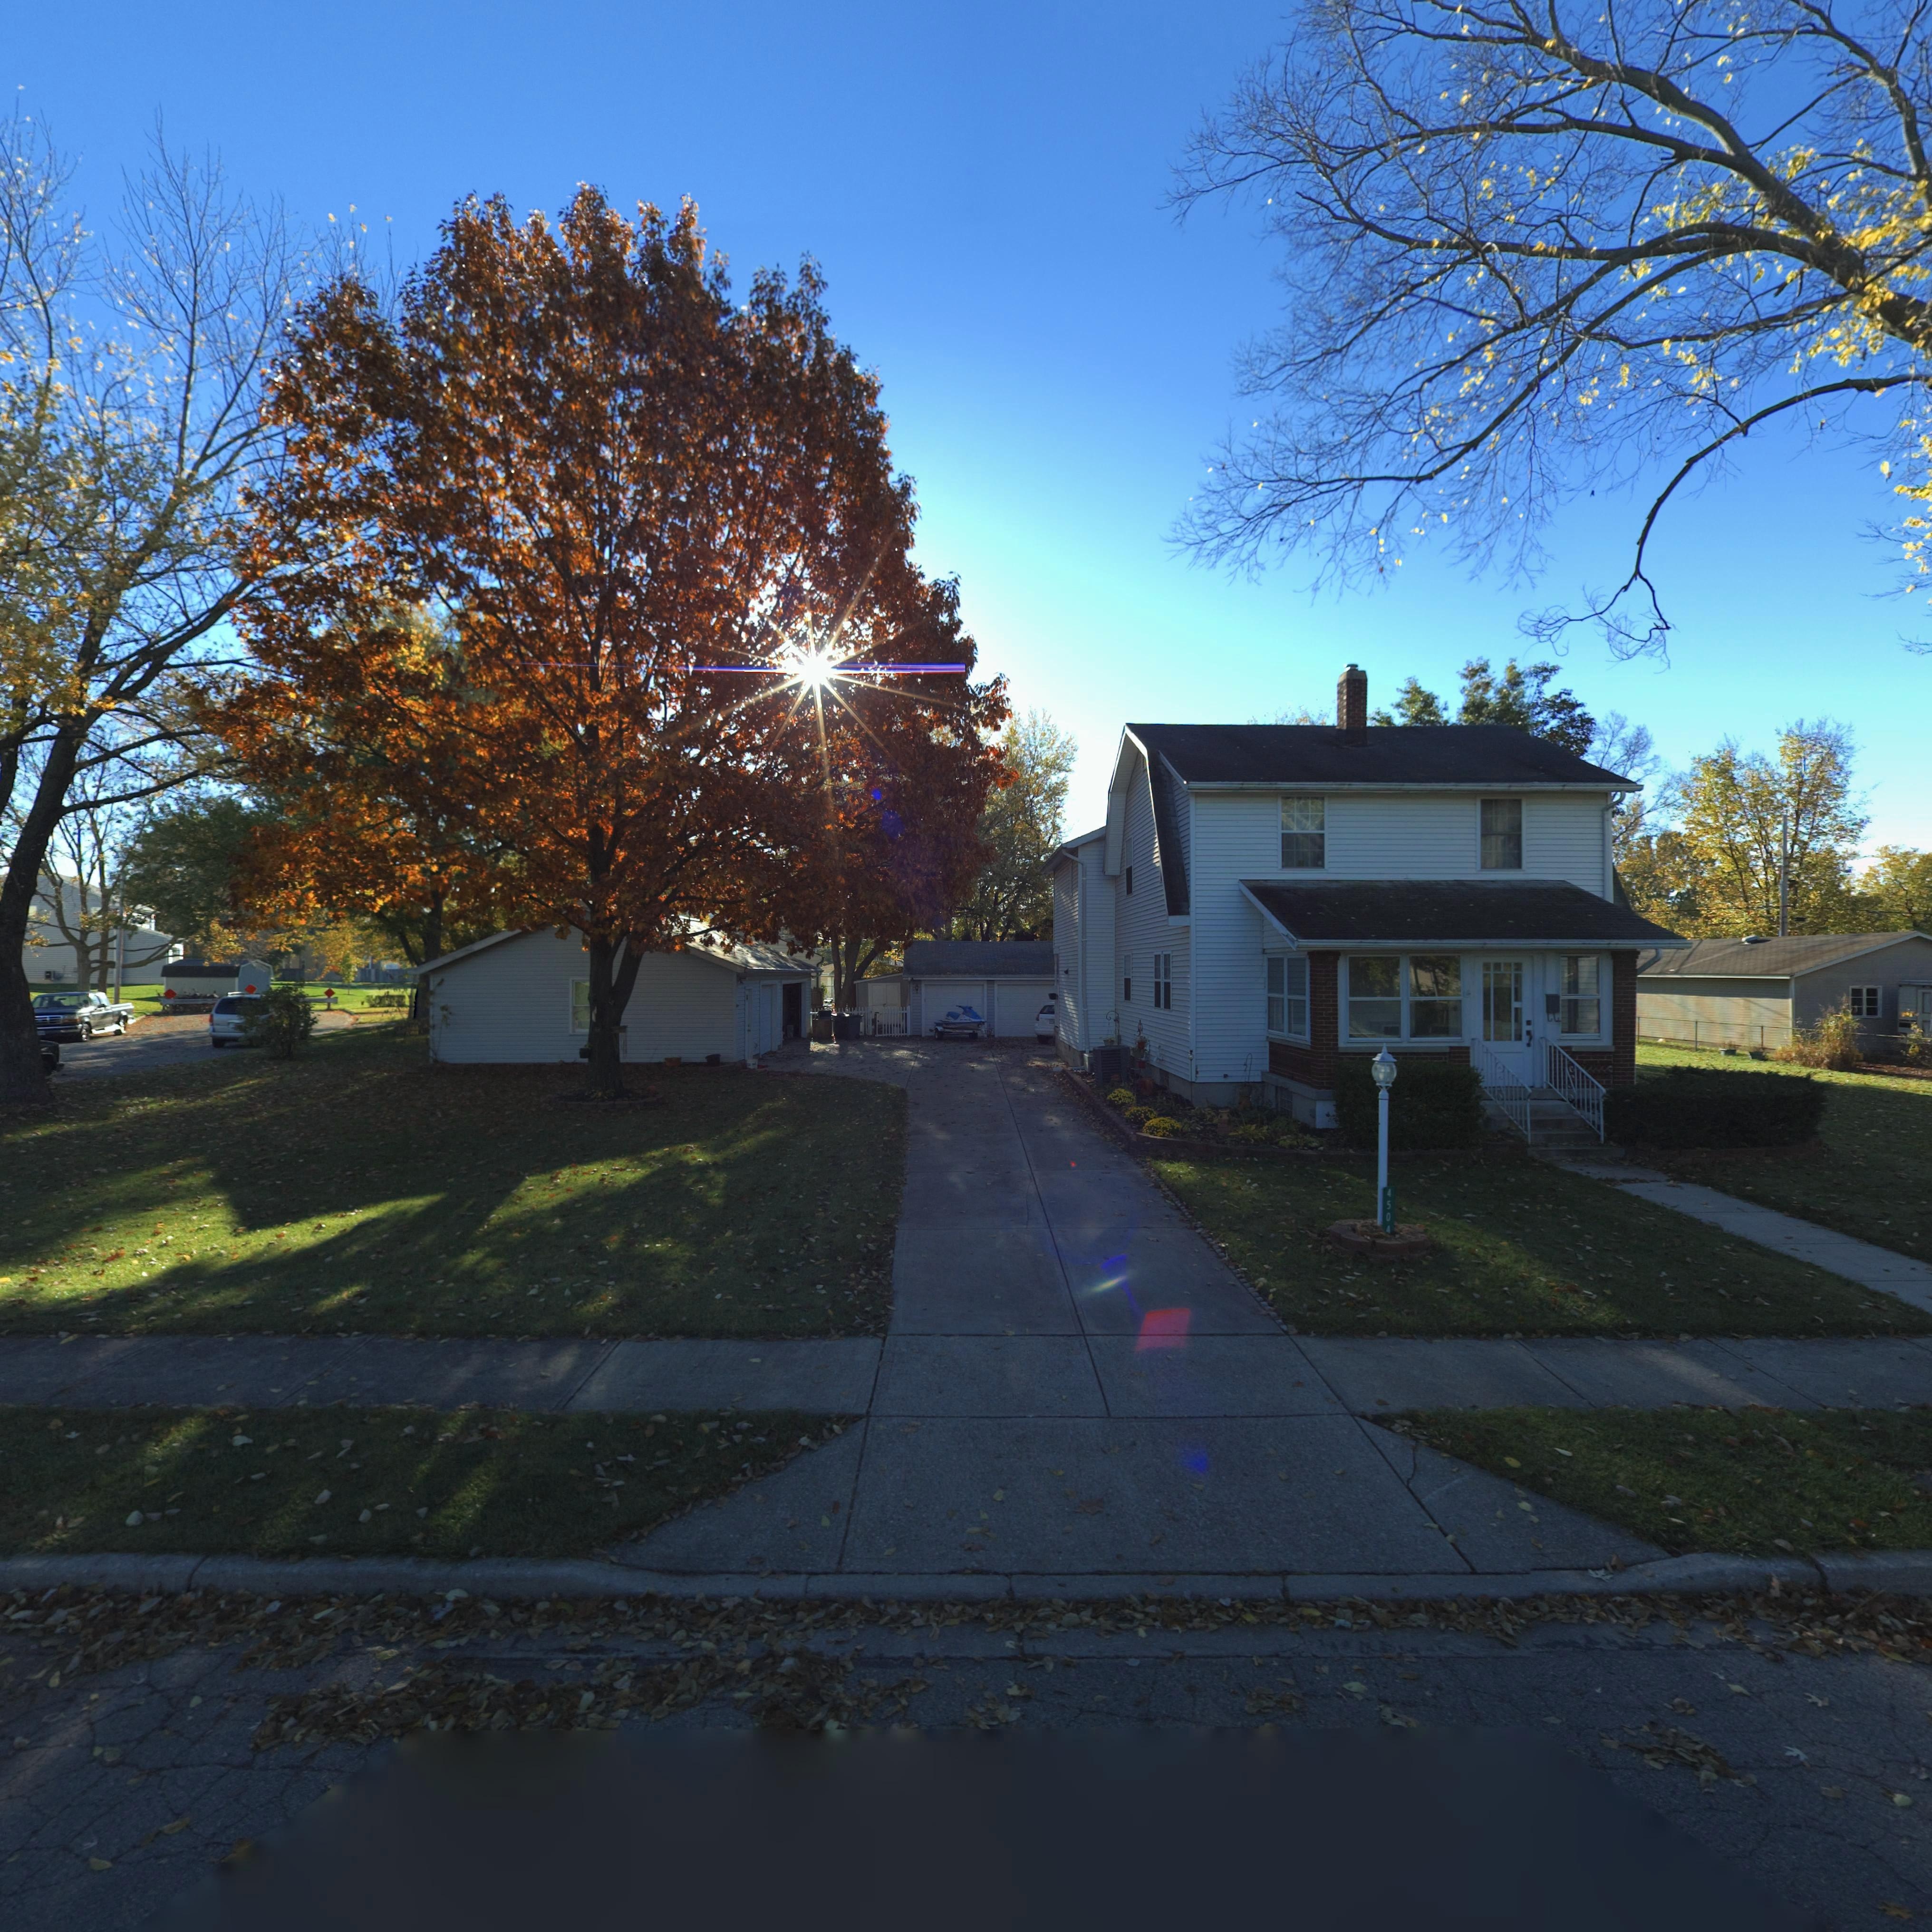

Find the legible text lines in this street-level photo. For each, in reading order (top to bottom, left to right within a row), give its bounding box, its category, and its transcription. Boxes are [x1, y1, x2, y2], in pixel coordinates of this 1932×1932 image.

[1385, 1187, 1393, 1235] StreetNumber: 4504